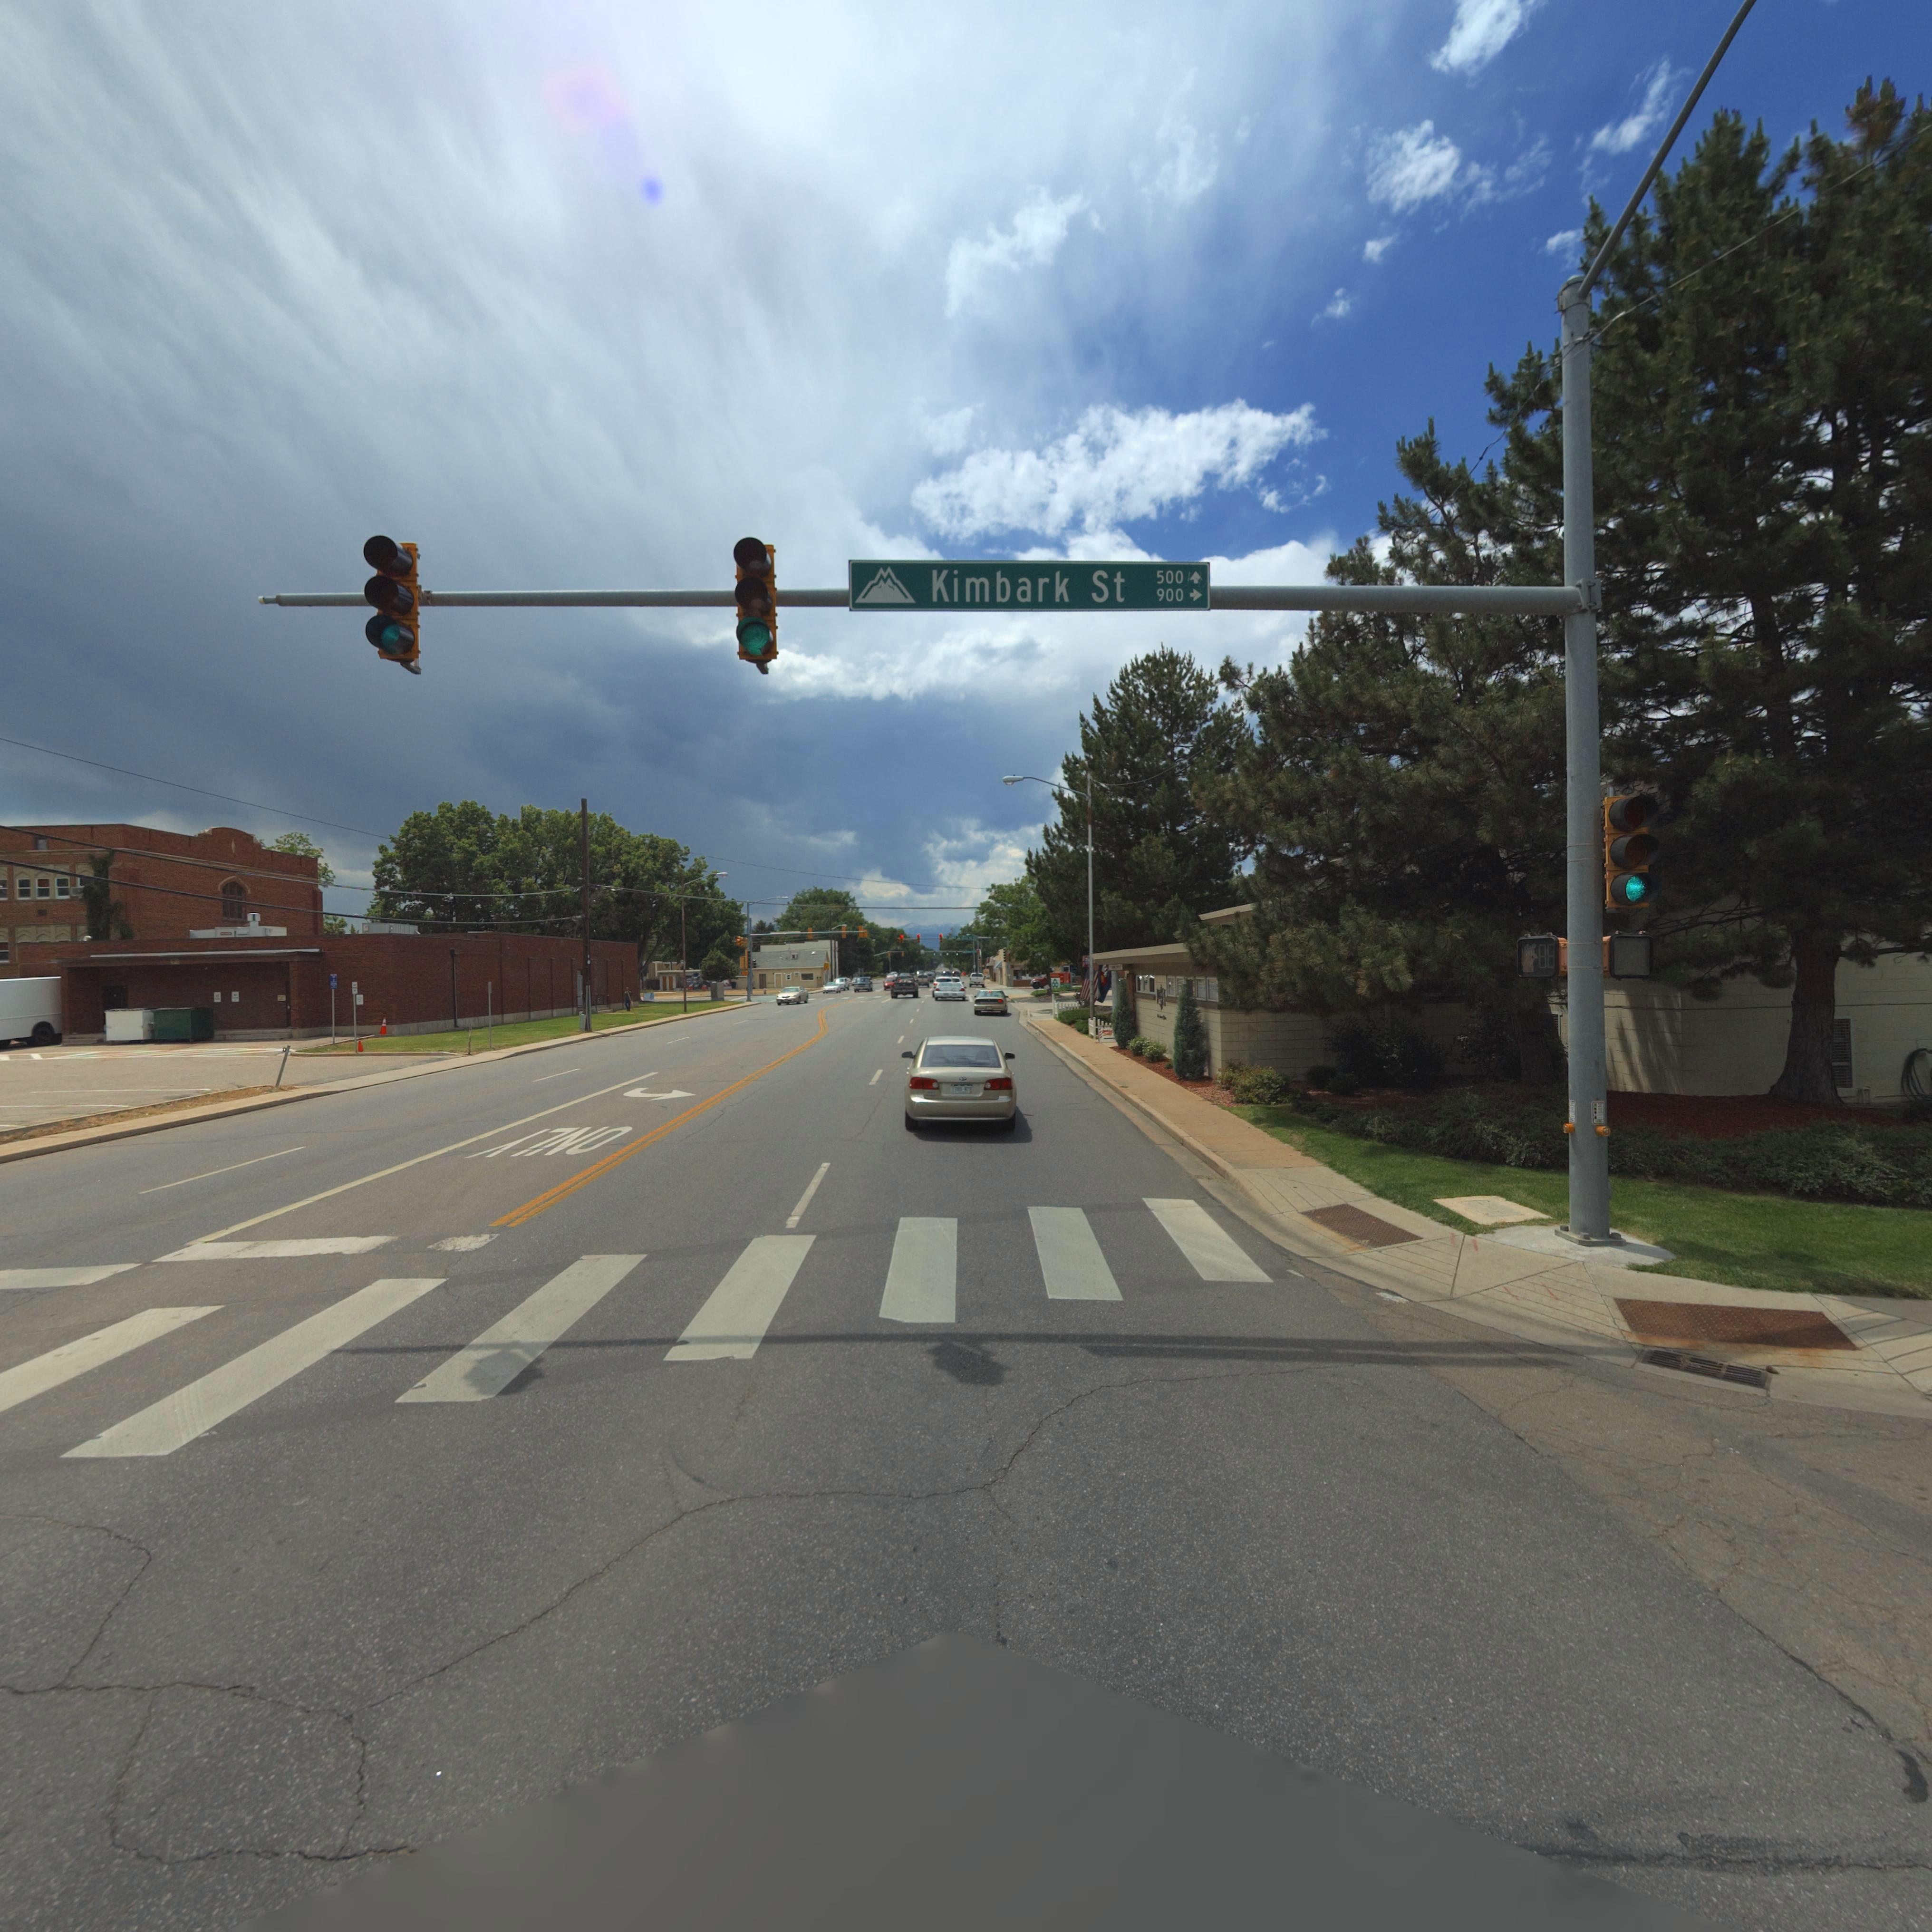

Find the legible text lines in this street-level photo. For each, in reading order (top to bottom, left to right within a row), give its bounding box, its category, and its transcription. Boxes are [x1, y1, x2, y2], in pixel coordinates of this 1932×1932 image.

[1156, 569, 1183, 585] StreetNumberRange: 500
[931, 570, 1125, 604] StreetName: Kimbark St
[1156, 587, 1202, 601] StreetNumberRange: 900 ->